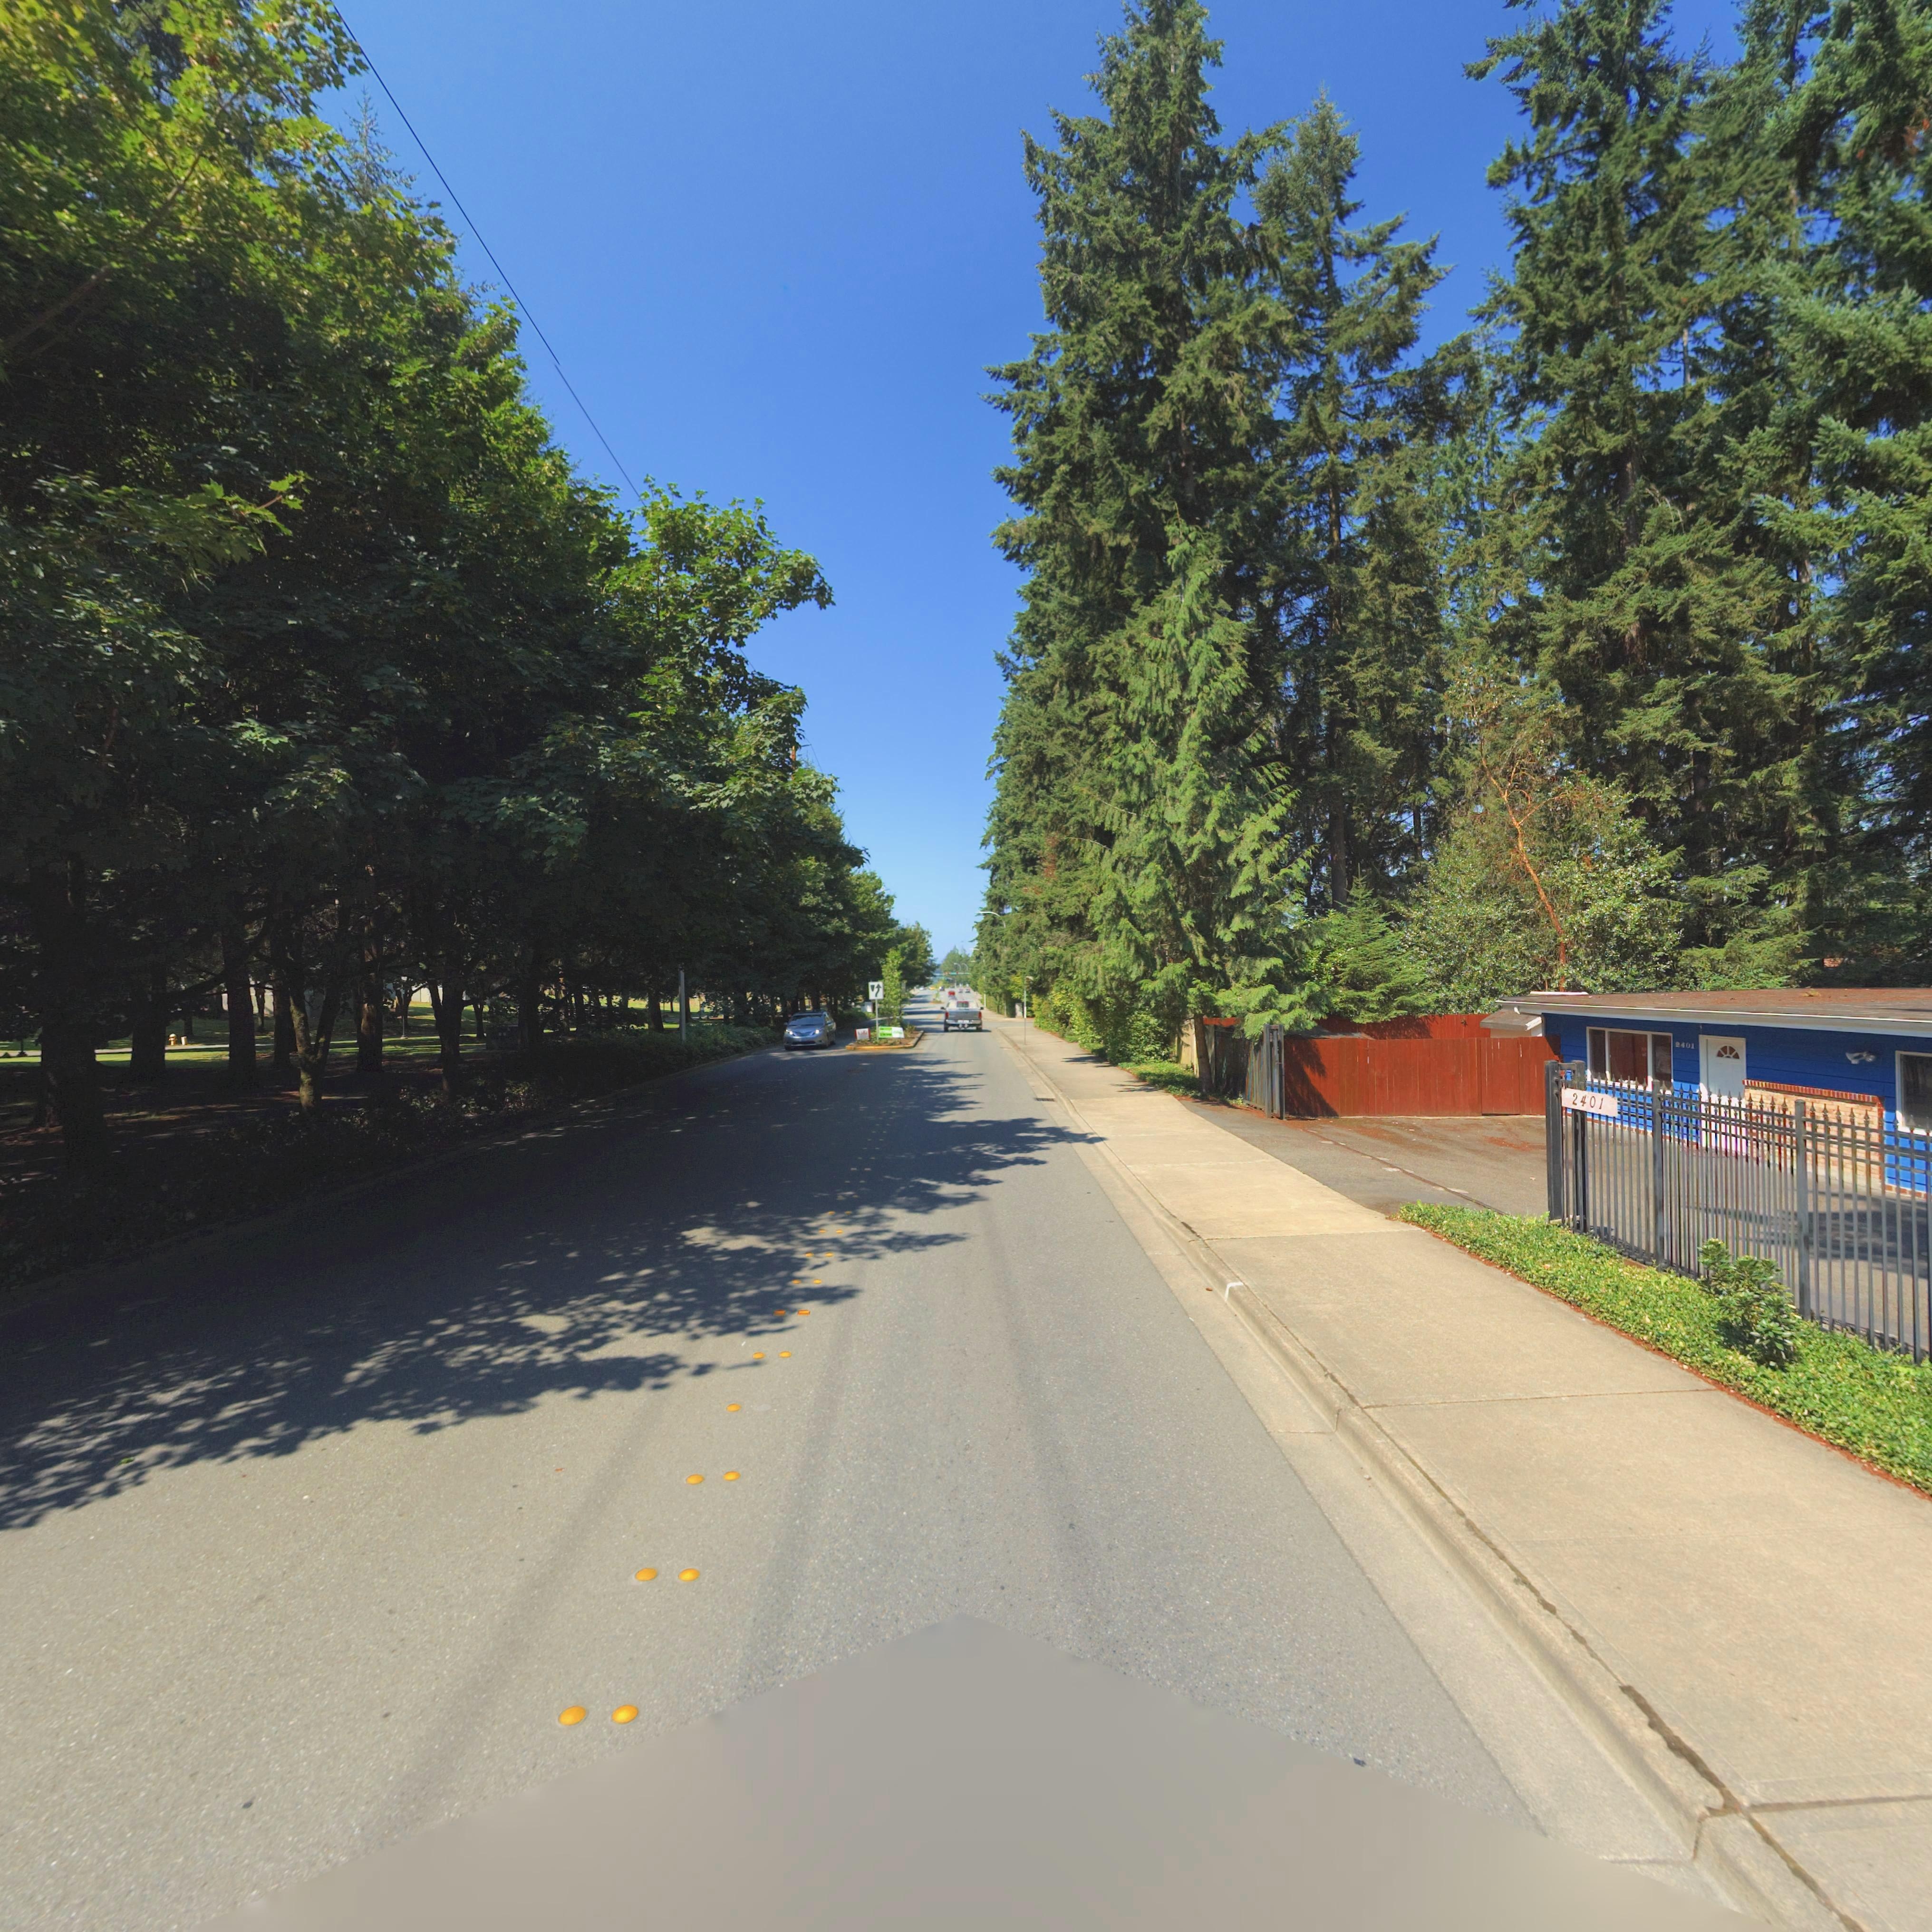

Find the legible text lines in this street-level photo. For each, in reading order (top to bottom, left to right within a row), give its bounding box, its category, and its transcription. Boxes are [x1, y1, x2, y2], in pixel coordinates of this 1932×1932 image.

[1675, 1040, 1695, 1050] StreetNumber: 2401
[1571, 1092, 1604, 1112] StreetNumber: 2401